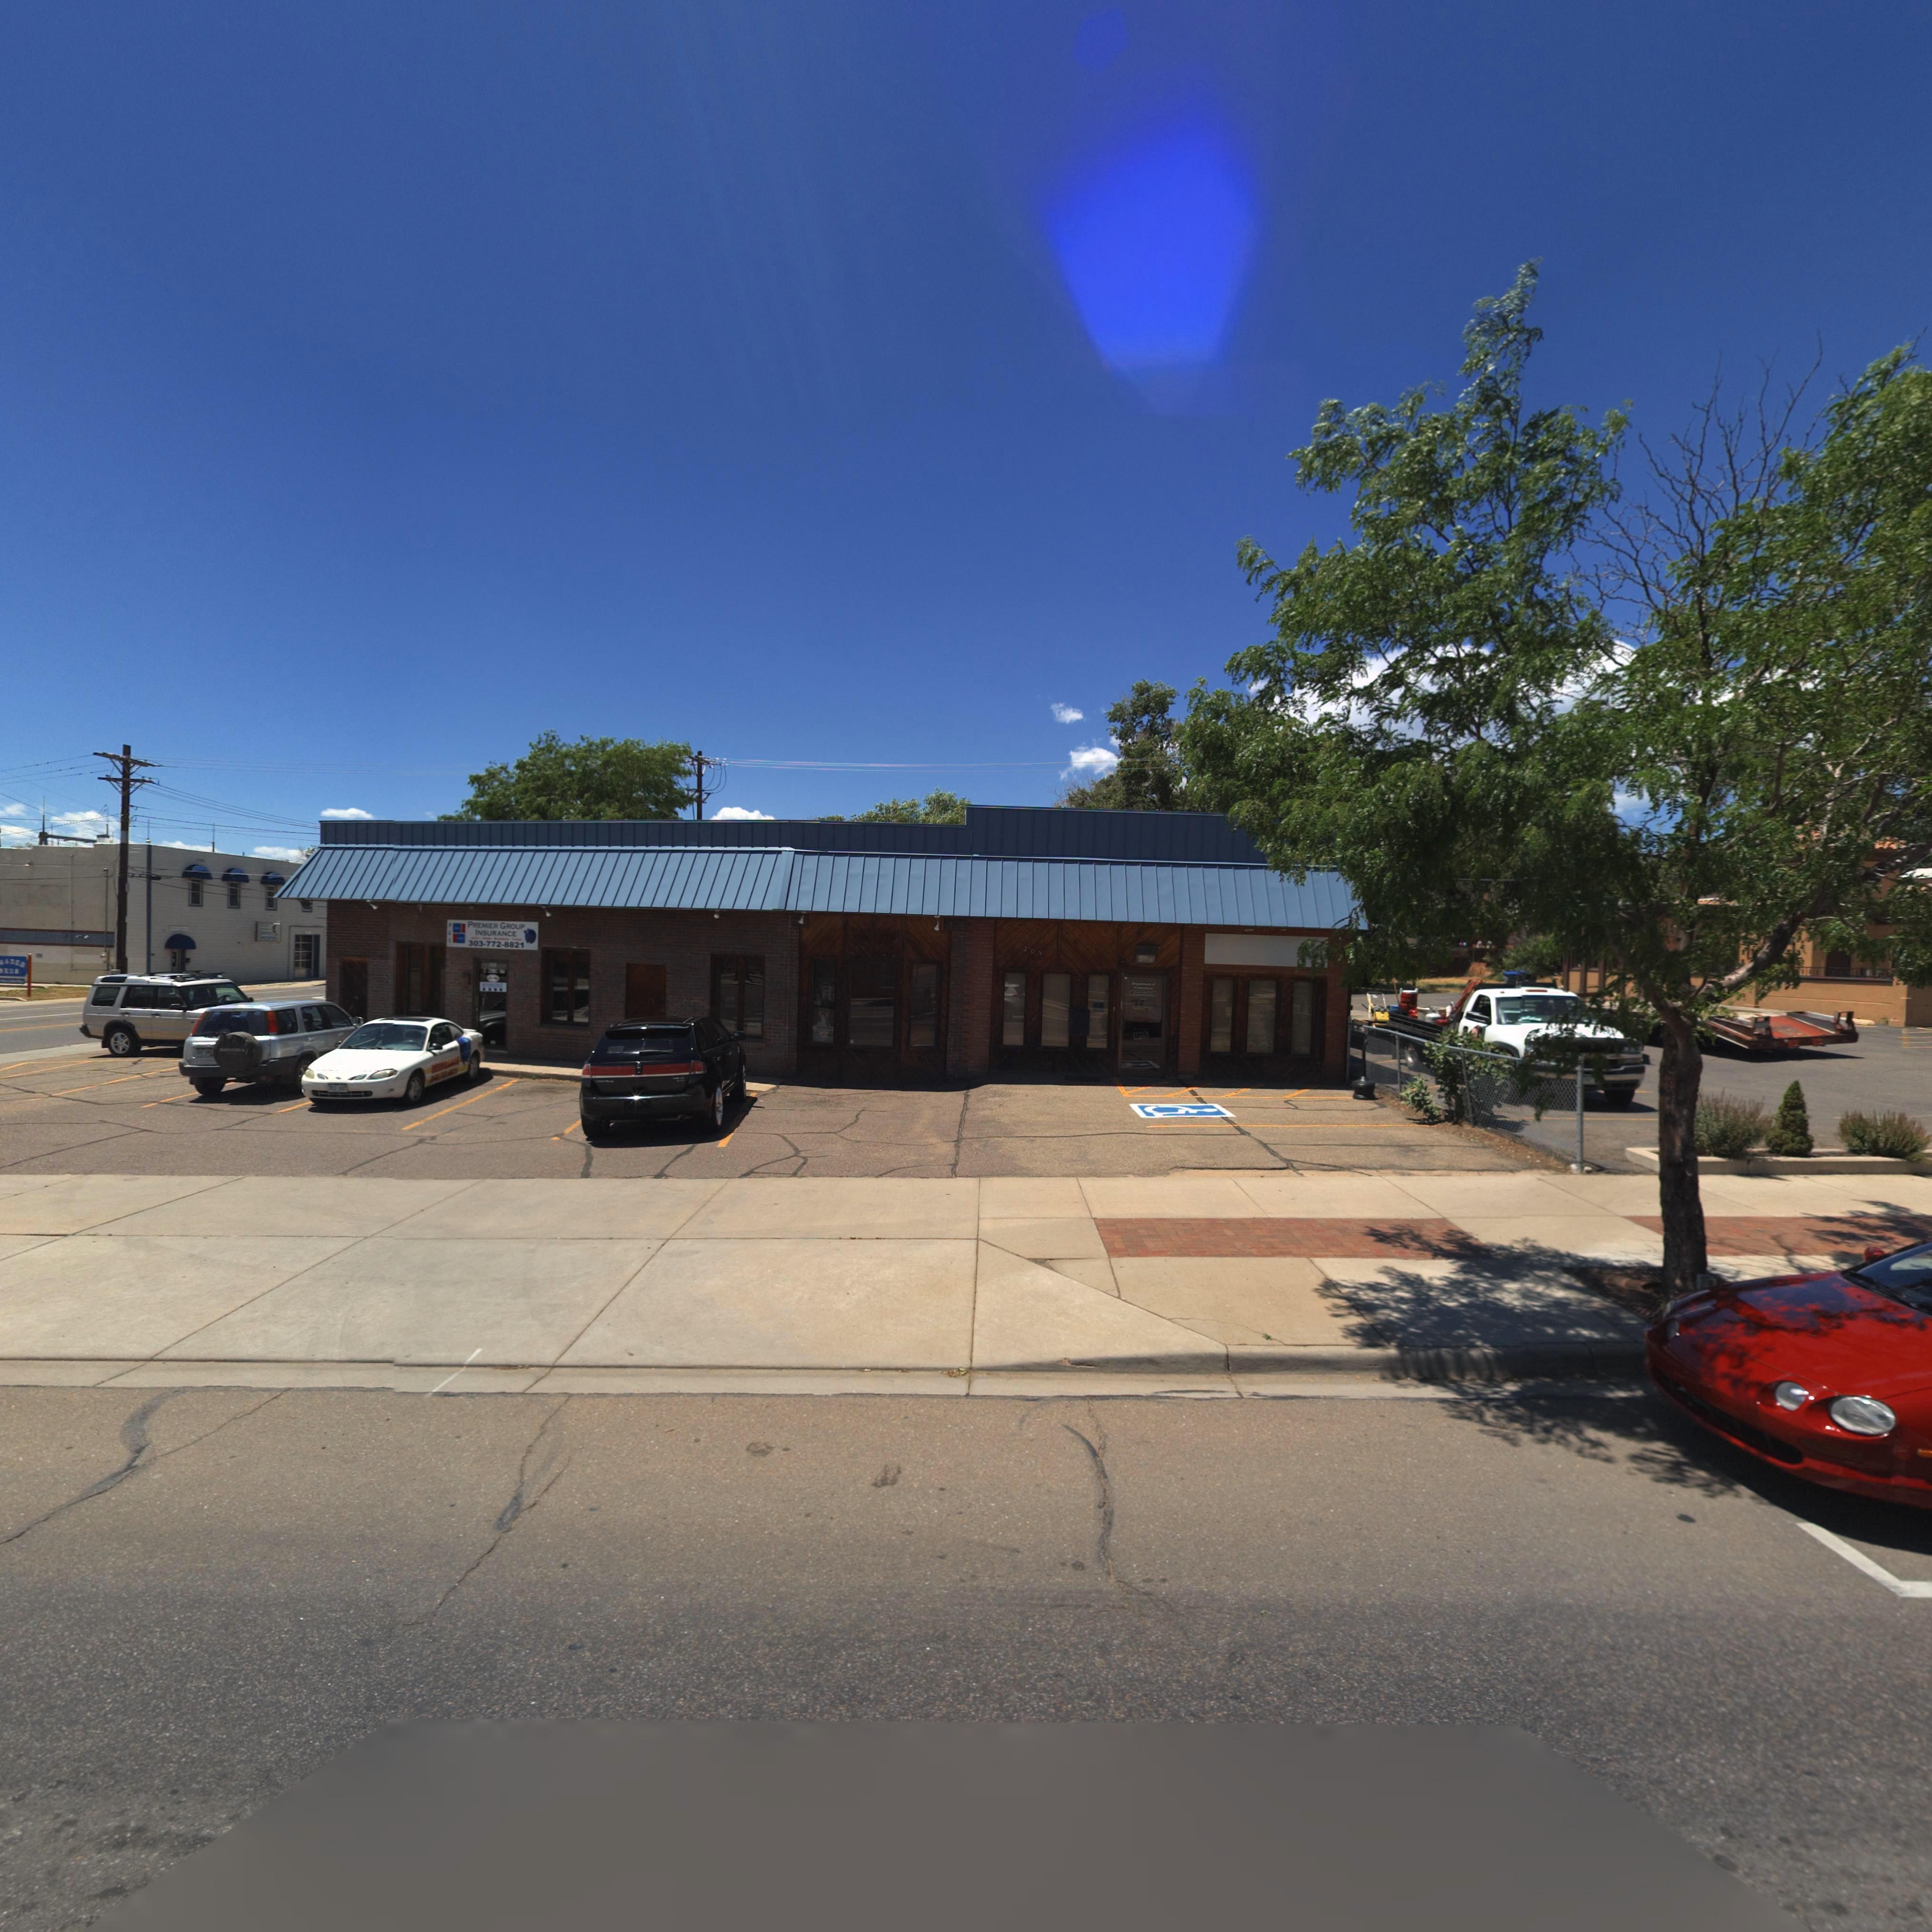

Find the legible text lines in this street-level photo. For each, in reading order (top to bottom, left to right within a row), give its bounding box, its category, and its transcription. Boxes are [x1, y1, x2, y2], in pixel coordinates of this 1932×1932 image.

[467, 920, 525, 929] StreetName: PREMIER GROUP
[448, 922, 452, 943] BusinessName: *GI
[473, 928, 516, 937] BusinessName: INSURANCE
[1022, 945, 1043, 956] StreetNumber: 205